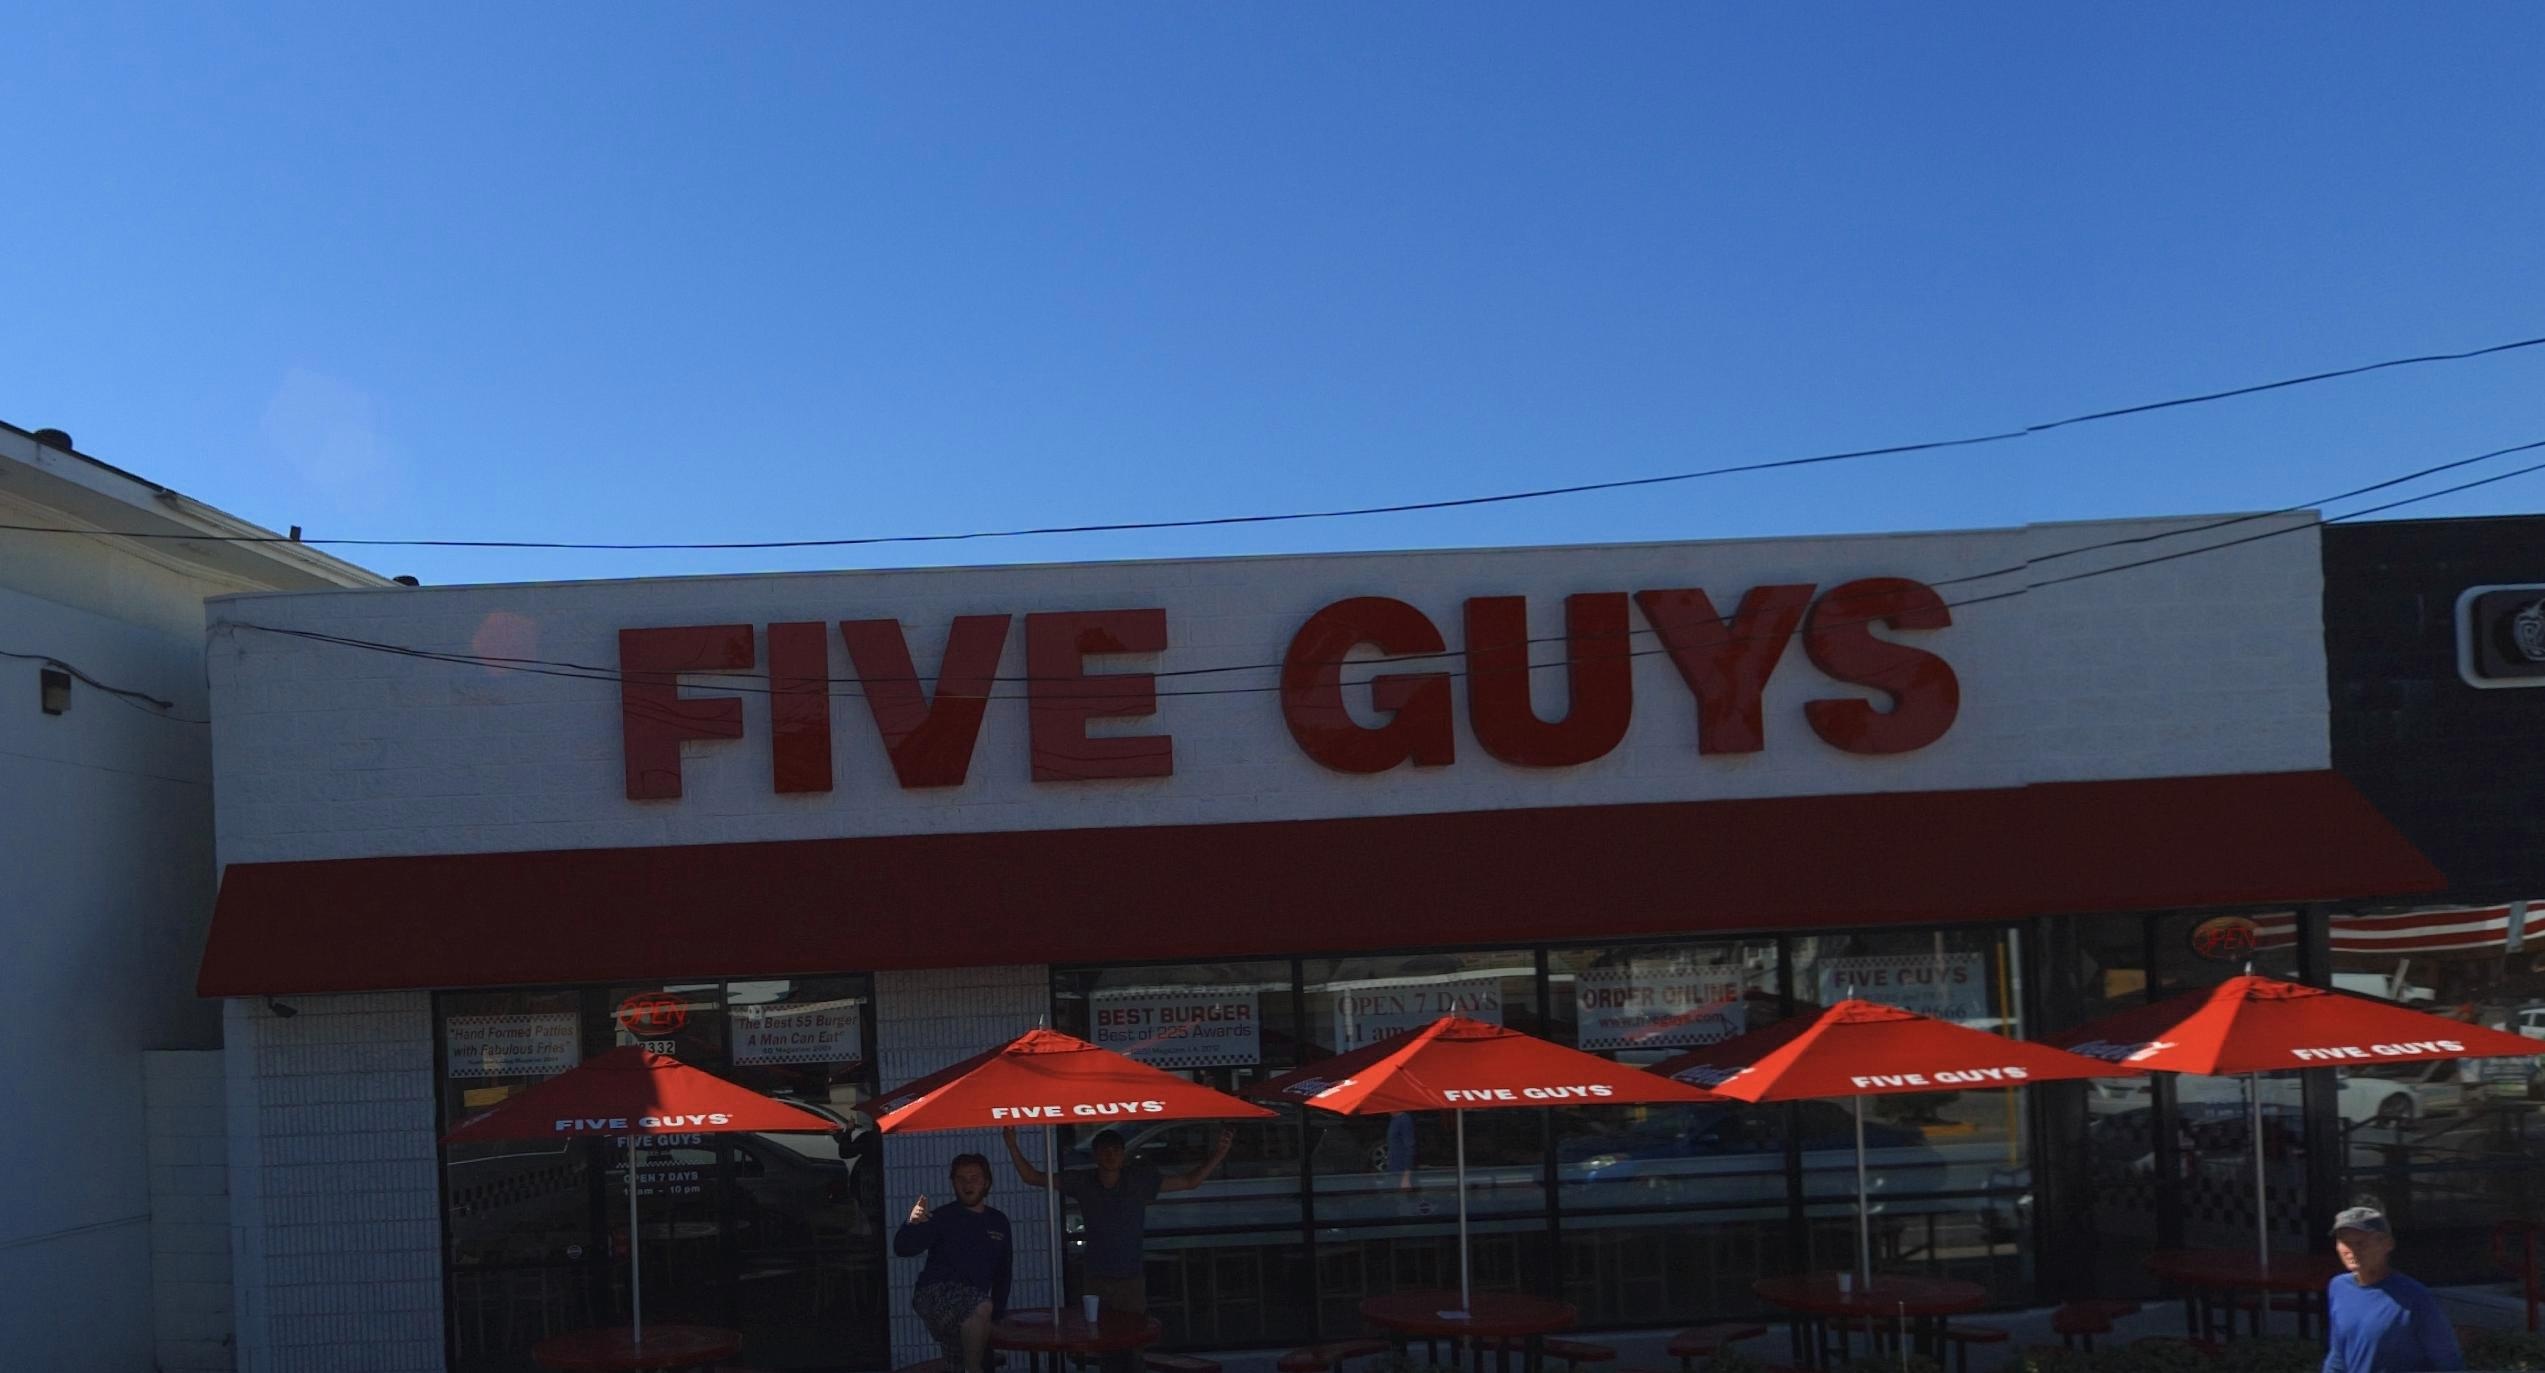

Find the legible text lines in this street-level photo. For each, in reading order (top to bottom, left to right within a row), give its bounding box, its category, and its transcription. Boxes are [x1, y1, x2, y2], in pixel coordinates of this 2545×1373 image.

[614, 572, 1963, 804] BusinessName: FIVE GUYS
[2191, 925, 2259, 955] None: OPEN
[1831, 962, 1973, 992] BusinessName: FIVE *UYS
[448, 1024, 576, 1042] None: "Hand Formed Patties
[453, 1040, 571, 1059] None: with Fabulous Fries"
[618, 998, 689, 1025] None: OPEN
[637, 1041, 676, 1055] StreetNumber: *332
[745, 1030, 845, 1048] None: A Man Can Eat"
[736, 1014, 860, 1031] None: "The Best $5 Burger
[1096, 1002, 1253, 1027] None: BEST BURGER
[1096, 1020, 1253, 1043] None: Best of 225 Awards
[1339, 1021, 1408, 1047] None: *1 a*
[1335, 988, 1500, 1020] None: OPEN 7 DAYS
[1594, 1010, 1727, 1032] None: w*w.***eguys.com
[1583, 979, 1740, 1009] None: ORDER ONLINE
[1919, 1000, 1970, 1023] None: *666
[2284, 1038, 2468, 1063] BusinessName: FIVE GUYS
[1846, 1062, 2030, 1093] BusinessName: FIVE GUYS
[1439, 1083, 1616, 1104] BusinessName: FIVE GUYS
[989, 1099, 1168, 1121] BusinessName: FIVE GUYS
[554, 1112, 730, 1132] BusinessName: FIVE GUYS
[616, 1132, 702, 1149] BusinessName: F*VE GUYS
[622, 1169, 700, 1185] None: **EN 7 DAYS
[621, 1183, 702, 1198] None: 1*am - 10 pm